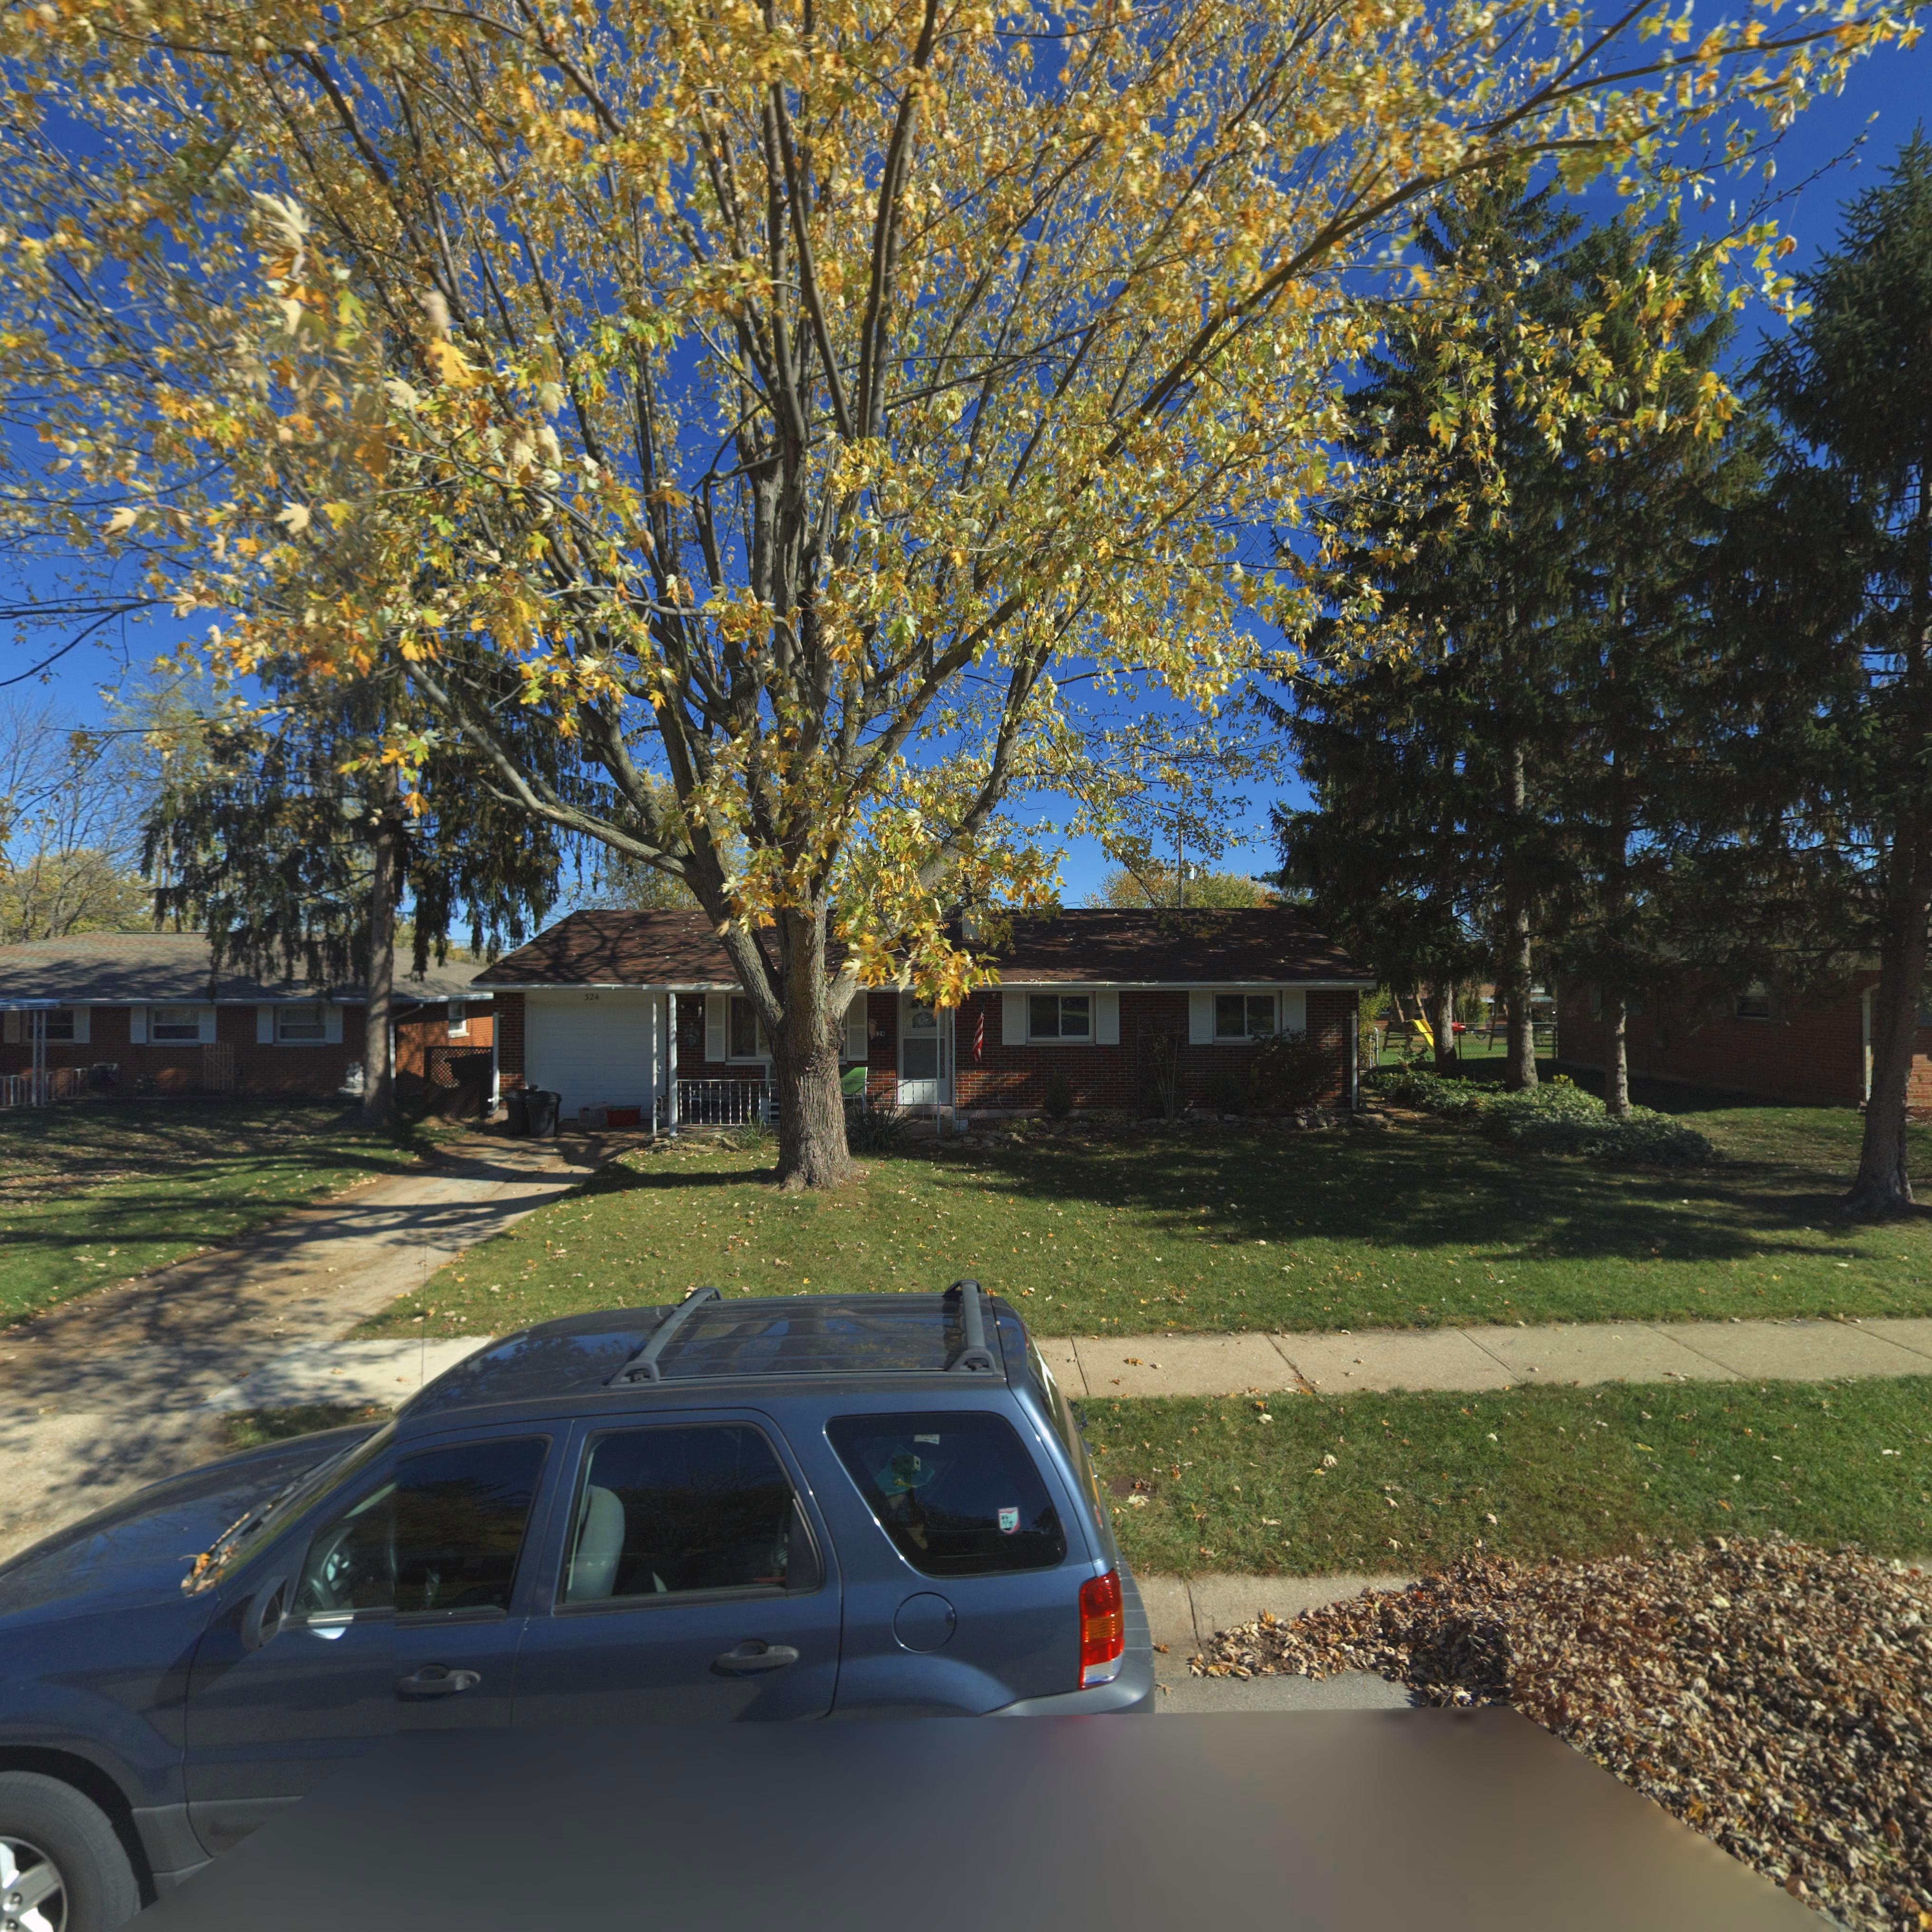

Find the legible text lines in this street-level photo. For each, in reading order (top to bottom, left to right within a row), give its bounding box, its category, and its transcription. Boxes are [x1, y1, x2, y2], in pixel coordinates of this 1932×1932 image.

[583, 992, 600, 1002] StreetNumber: 324
[877, 1030, 886, 1037] StreetNumber: 24